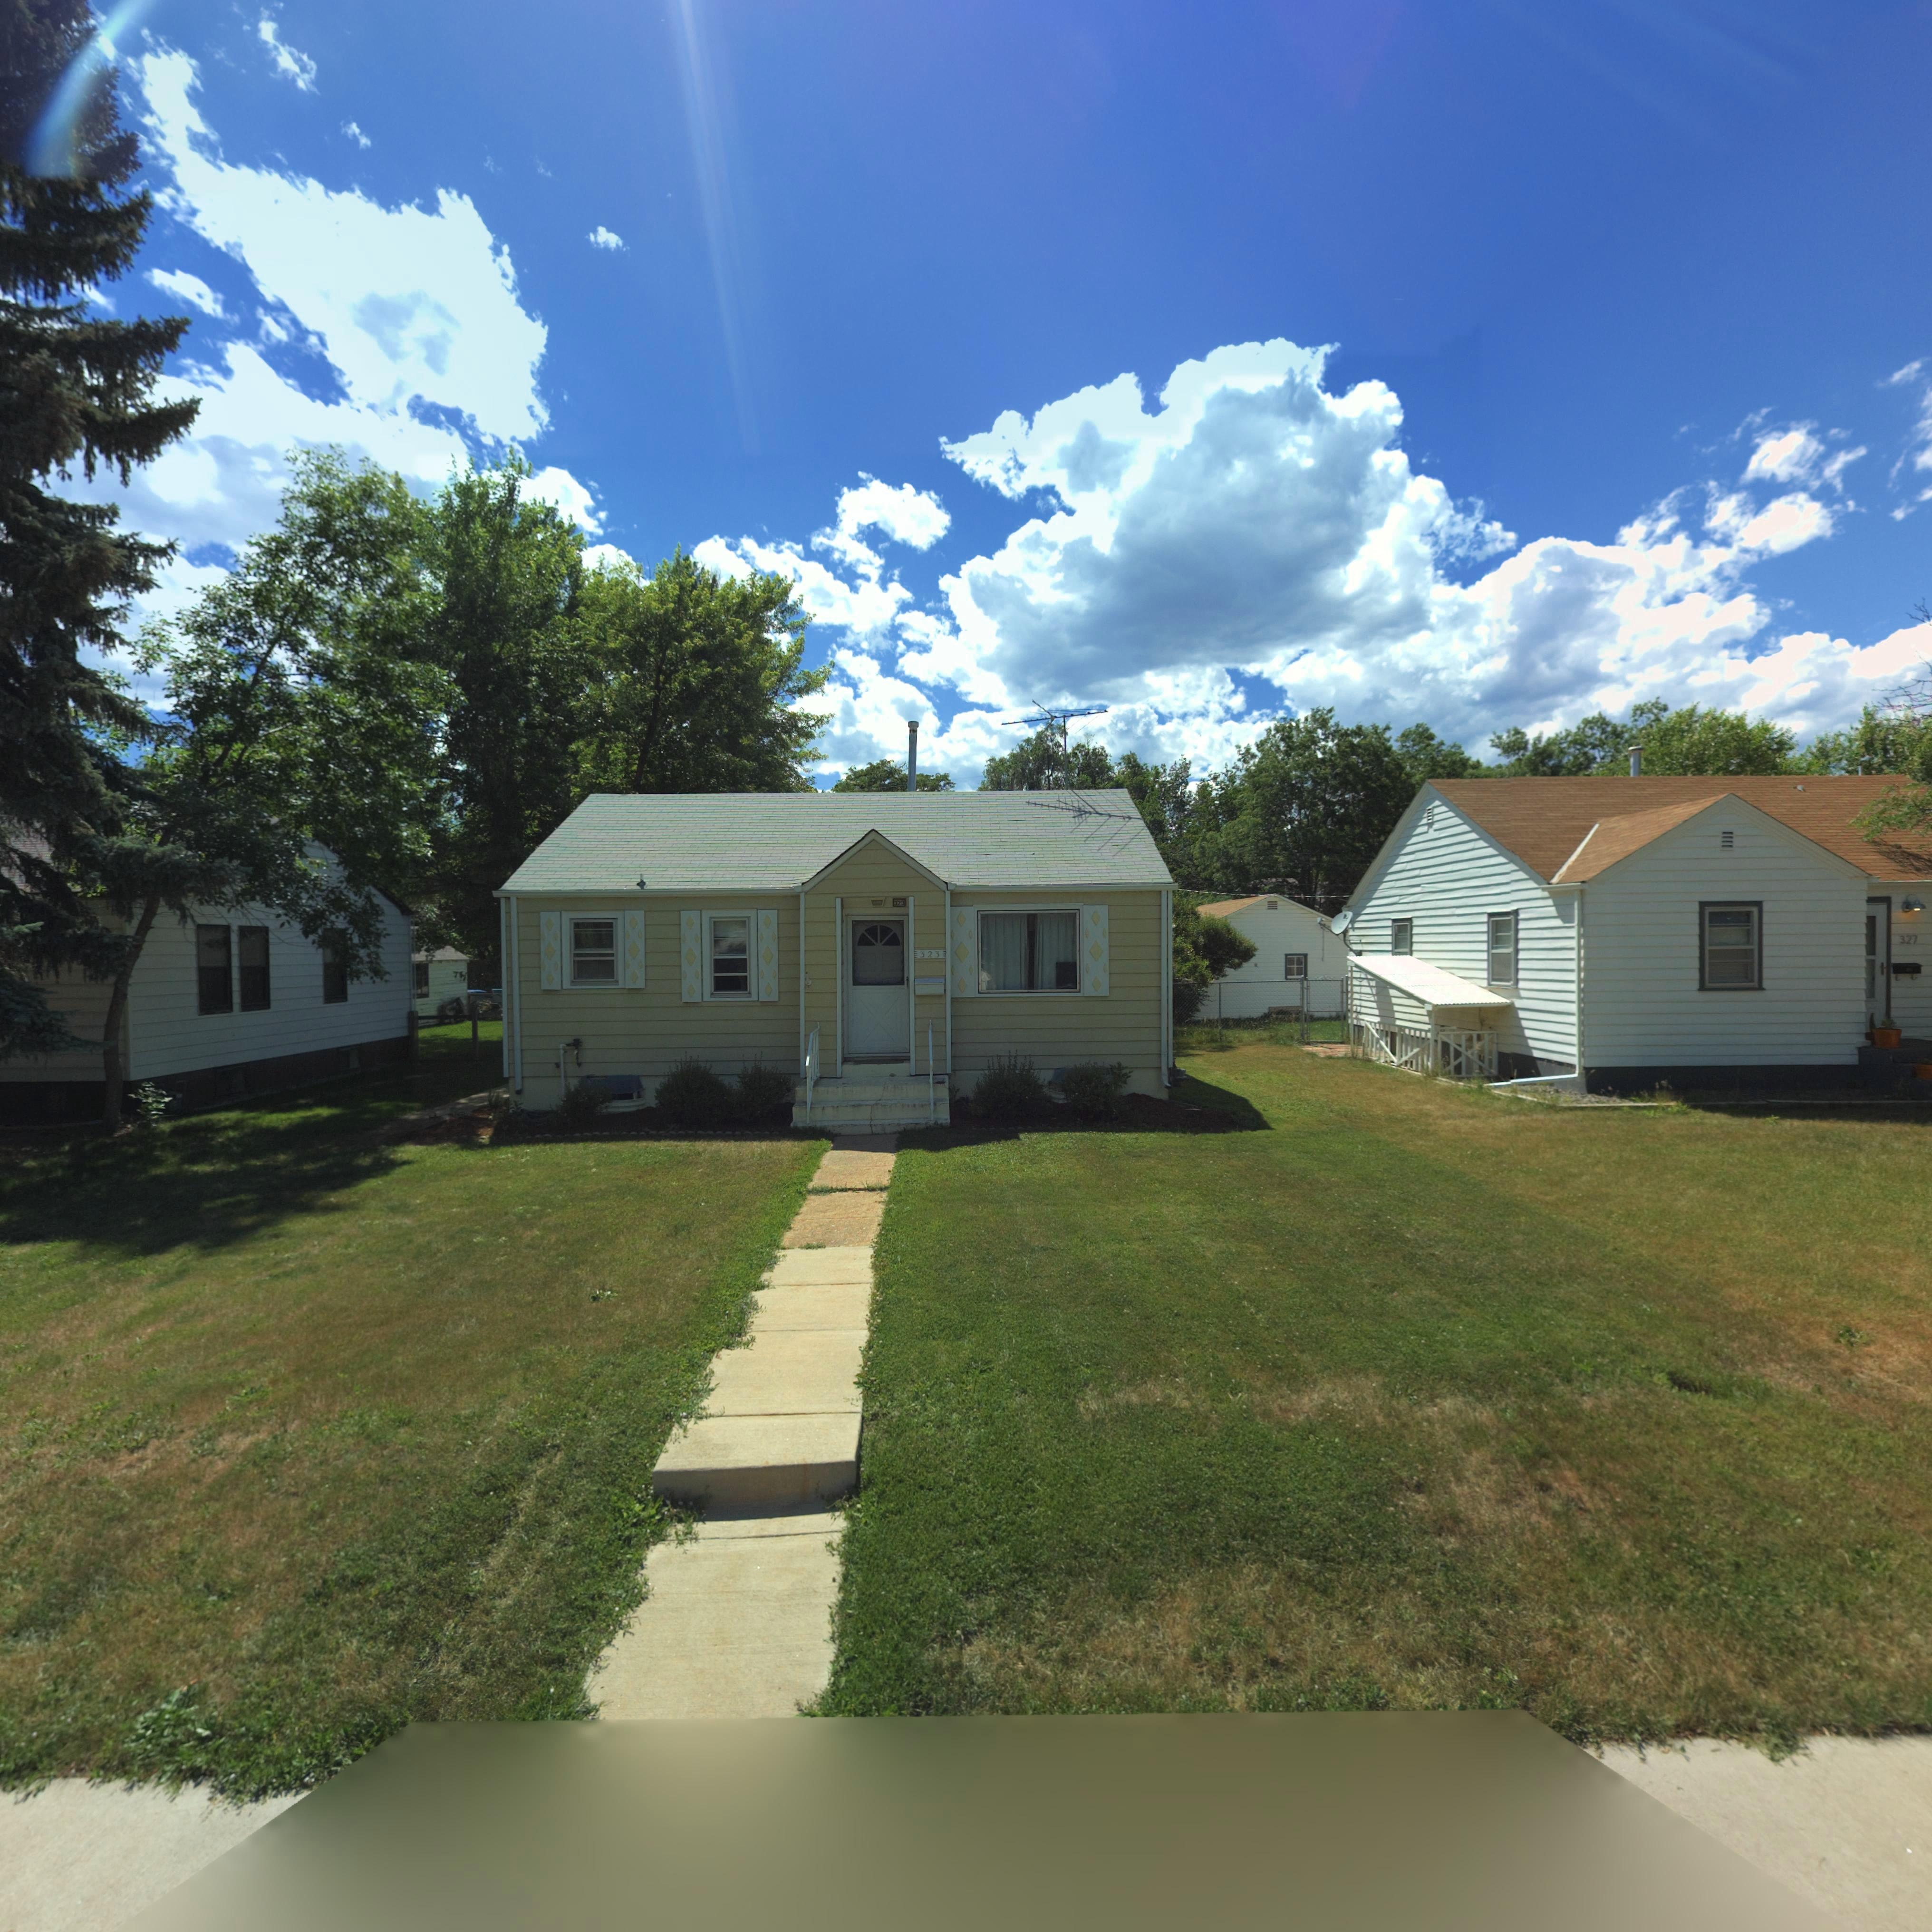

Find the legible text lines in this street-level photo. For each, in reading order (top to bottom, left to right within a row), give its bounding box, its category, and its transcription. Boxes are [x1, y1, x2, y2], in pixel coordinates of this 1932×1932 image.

[894, 900, 904, 906] StreetNumber: 323
[1899, 935, 1917, 944] StreetNumber: 327
[918, 950, 940, 958] StreetNumber: 323